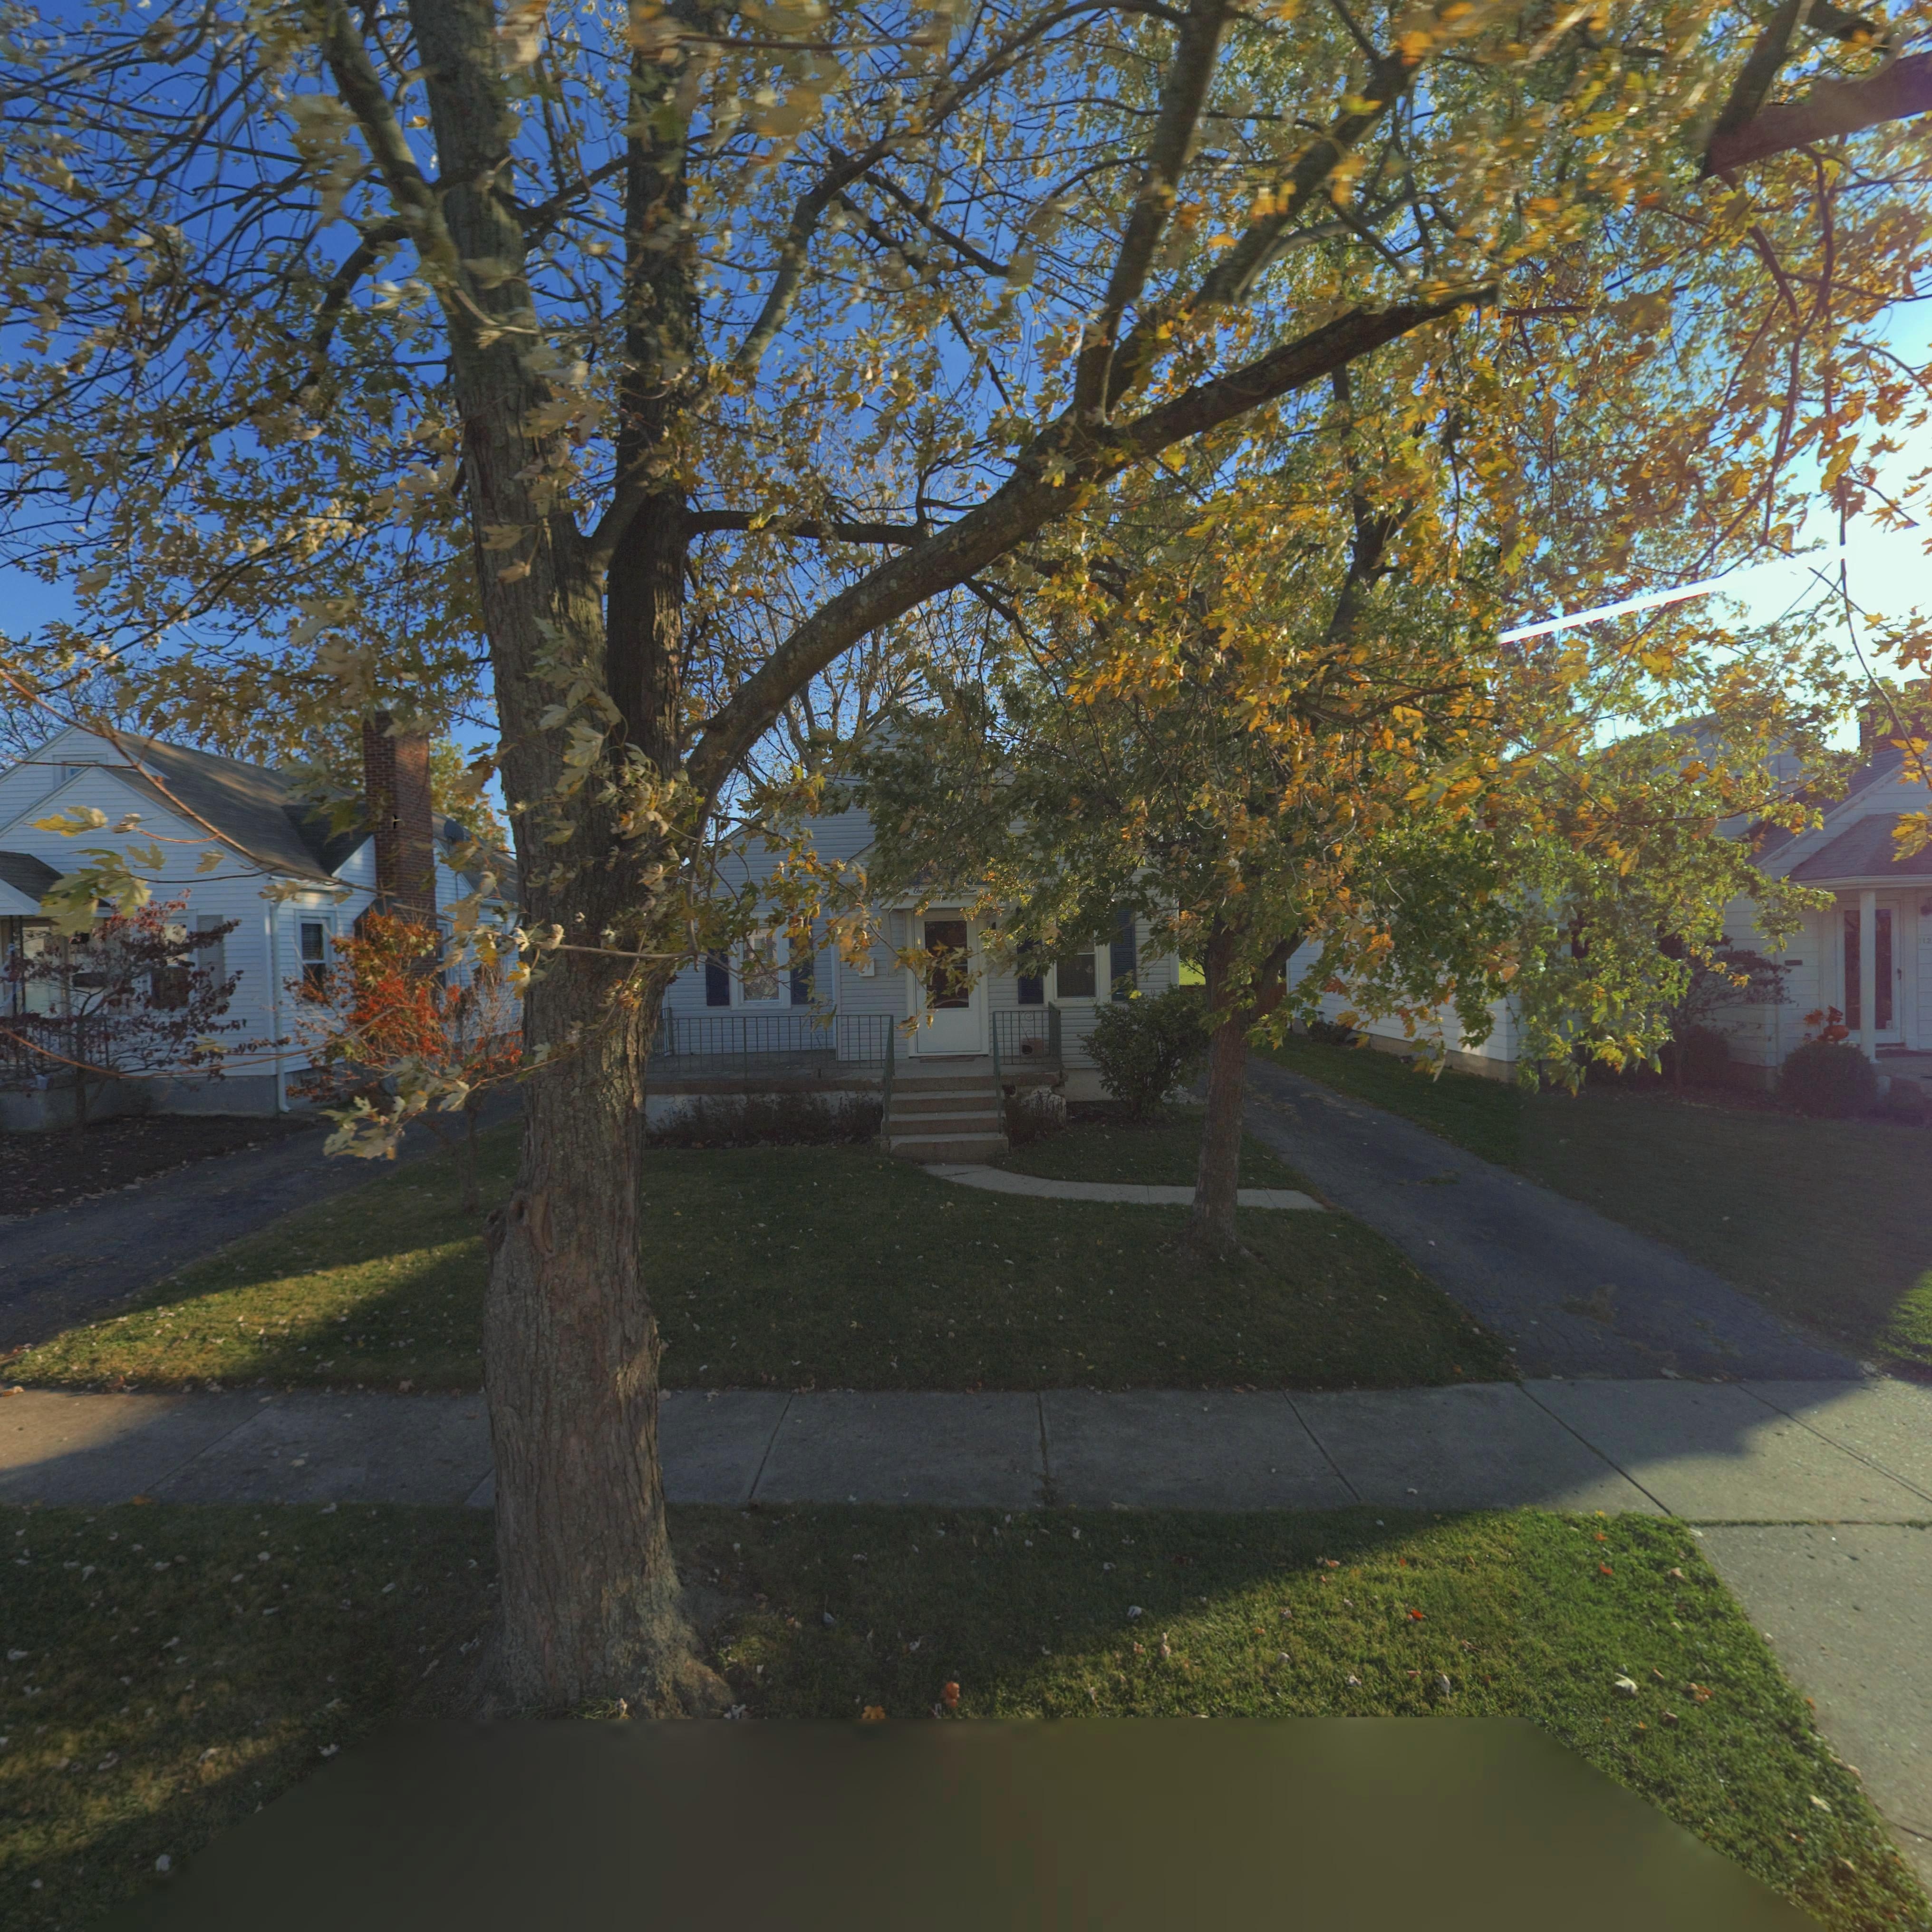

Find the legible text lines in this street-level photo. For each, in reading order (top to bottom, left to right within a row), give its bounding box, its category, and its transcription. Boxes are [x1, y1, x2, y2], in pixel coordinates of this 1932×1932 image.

[1918, 937, 1932, 945] StreetNumber: 112